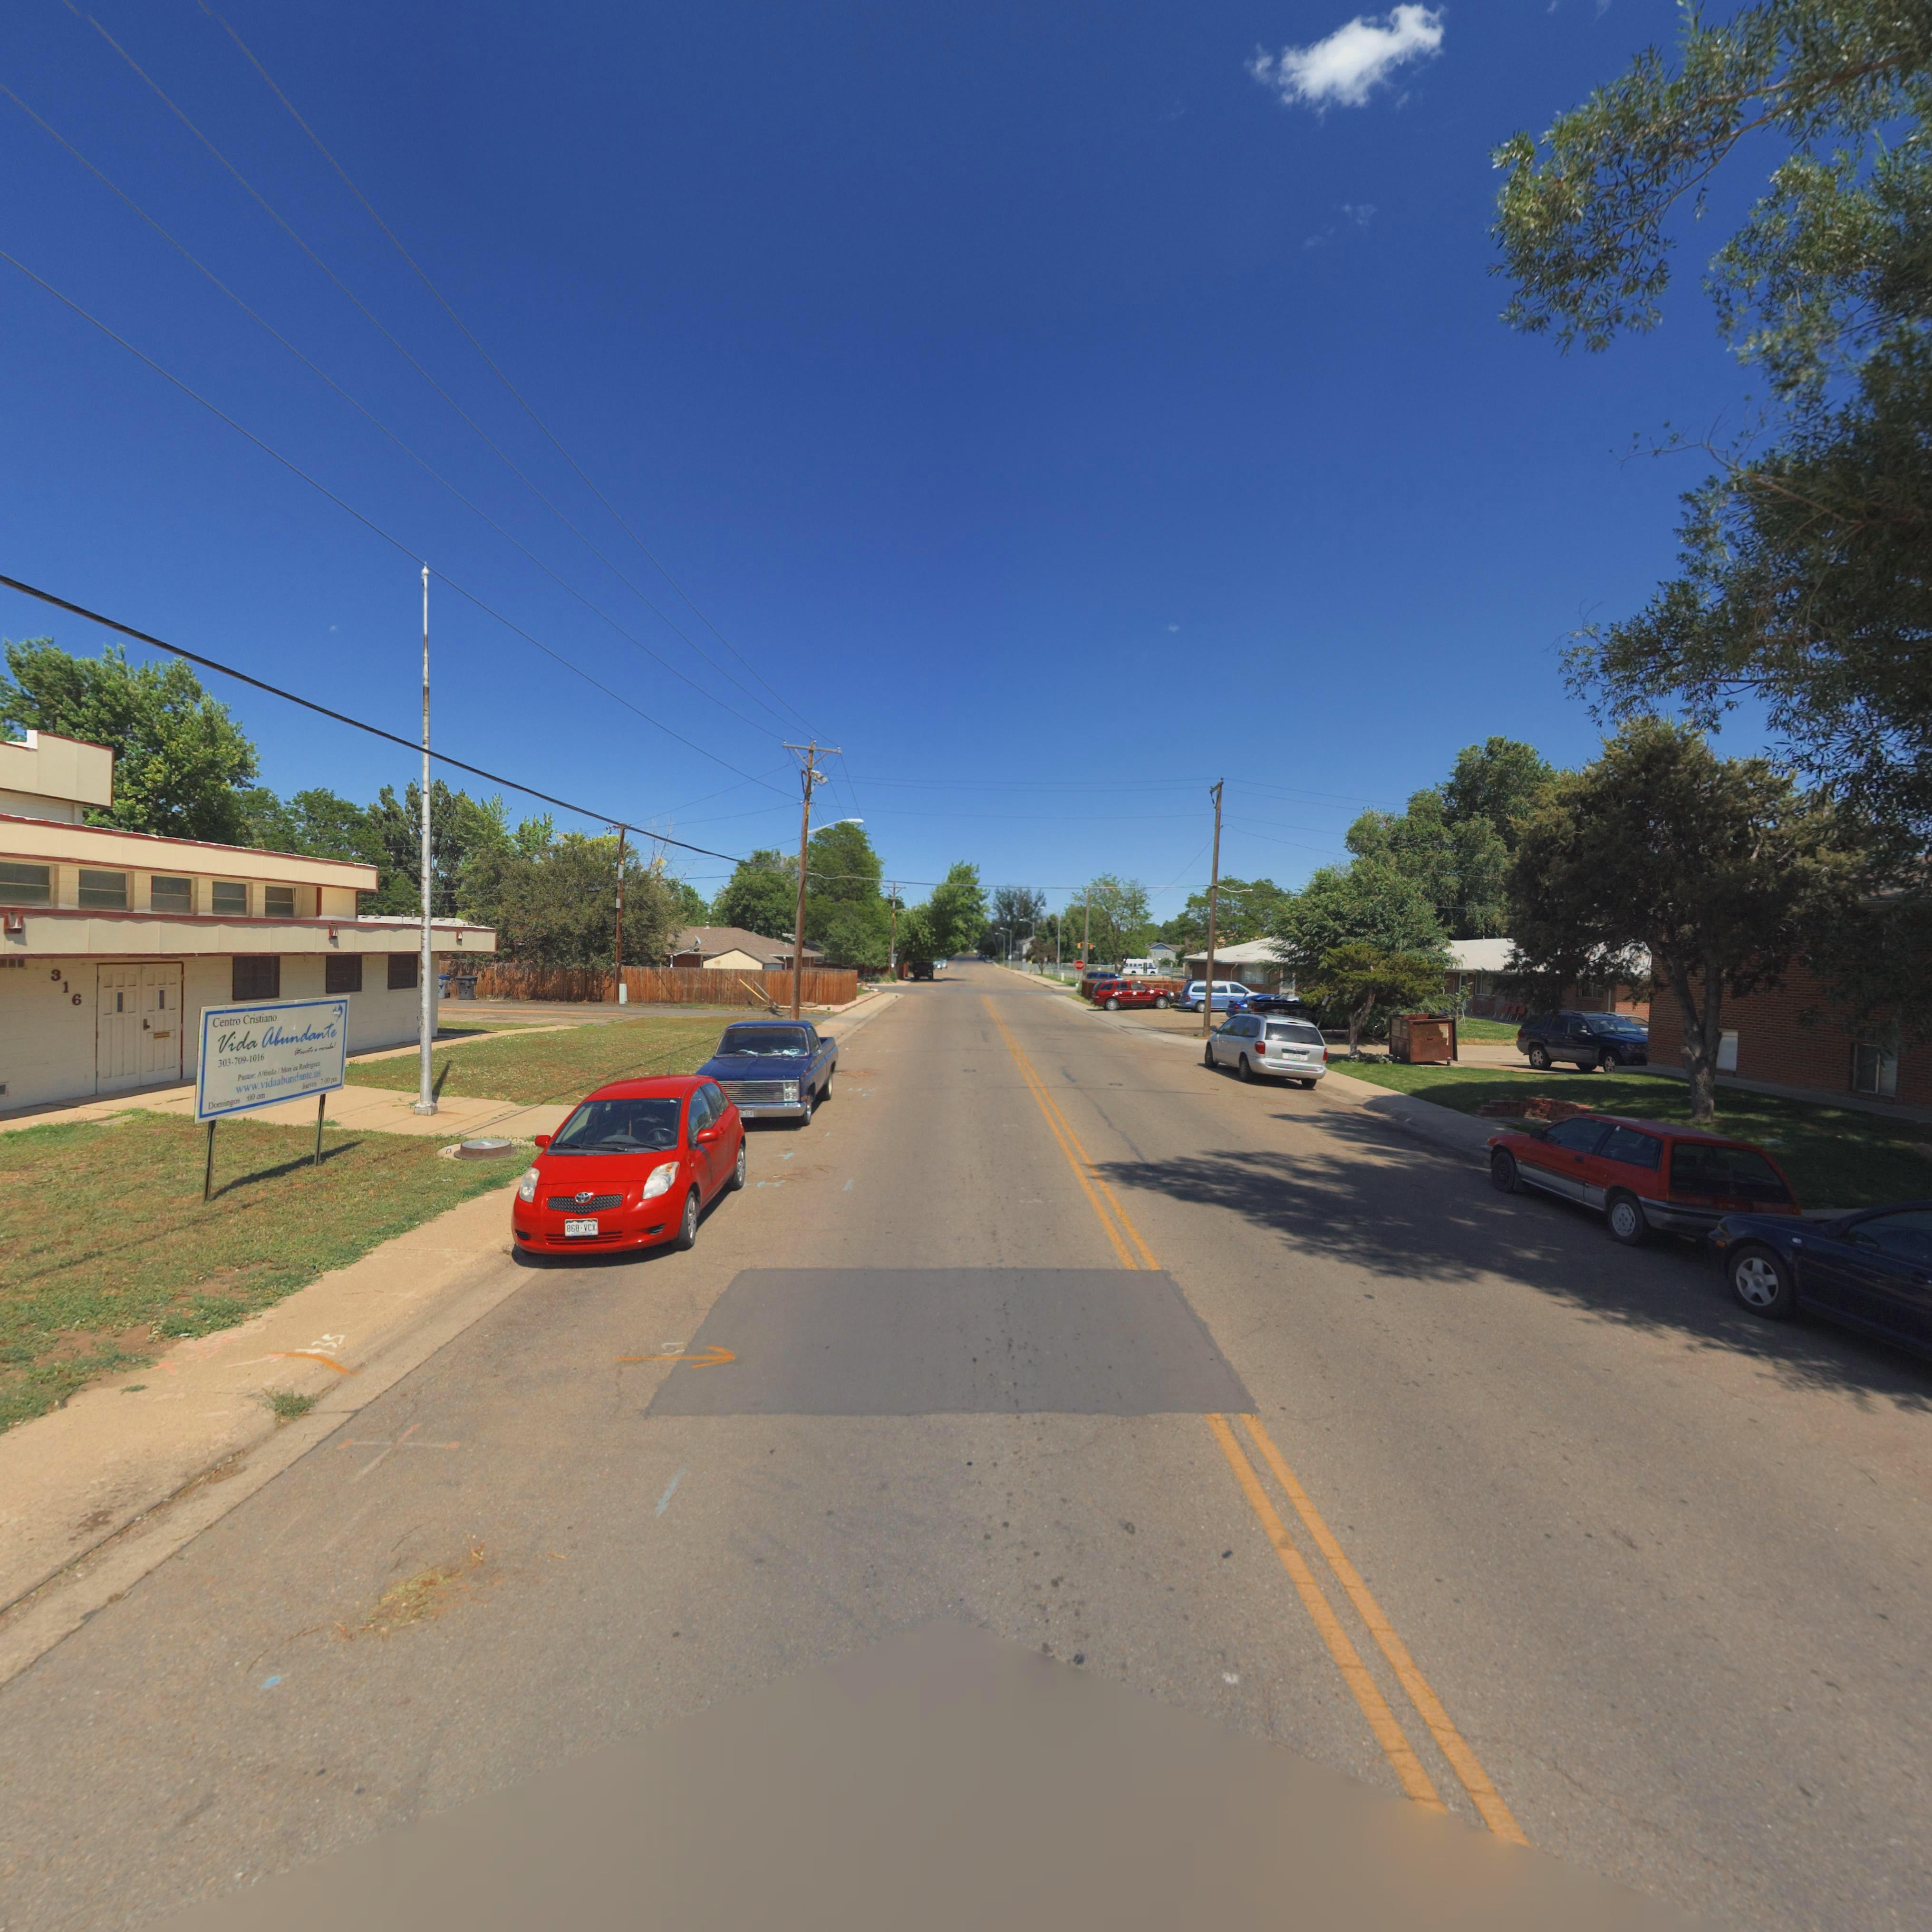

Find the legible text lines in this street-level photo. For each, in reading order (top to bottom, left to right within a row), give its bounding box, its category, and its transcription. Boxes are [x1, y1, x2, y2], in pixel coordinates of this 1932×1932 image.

[50, 968, 82, 1006] StreetNumber: 316
[212, 1013, 278, 1028] BusinessName: Centro Cristiano
[217, 1021, 338, 1054] BusinessName: Vida Abundante